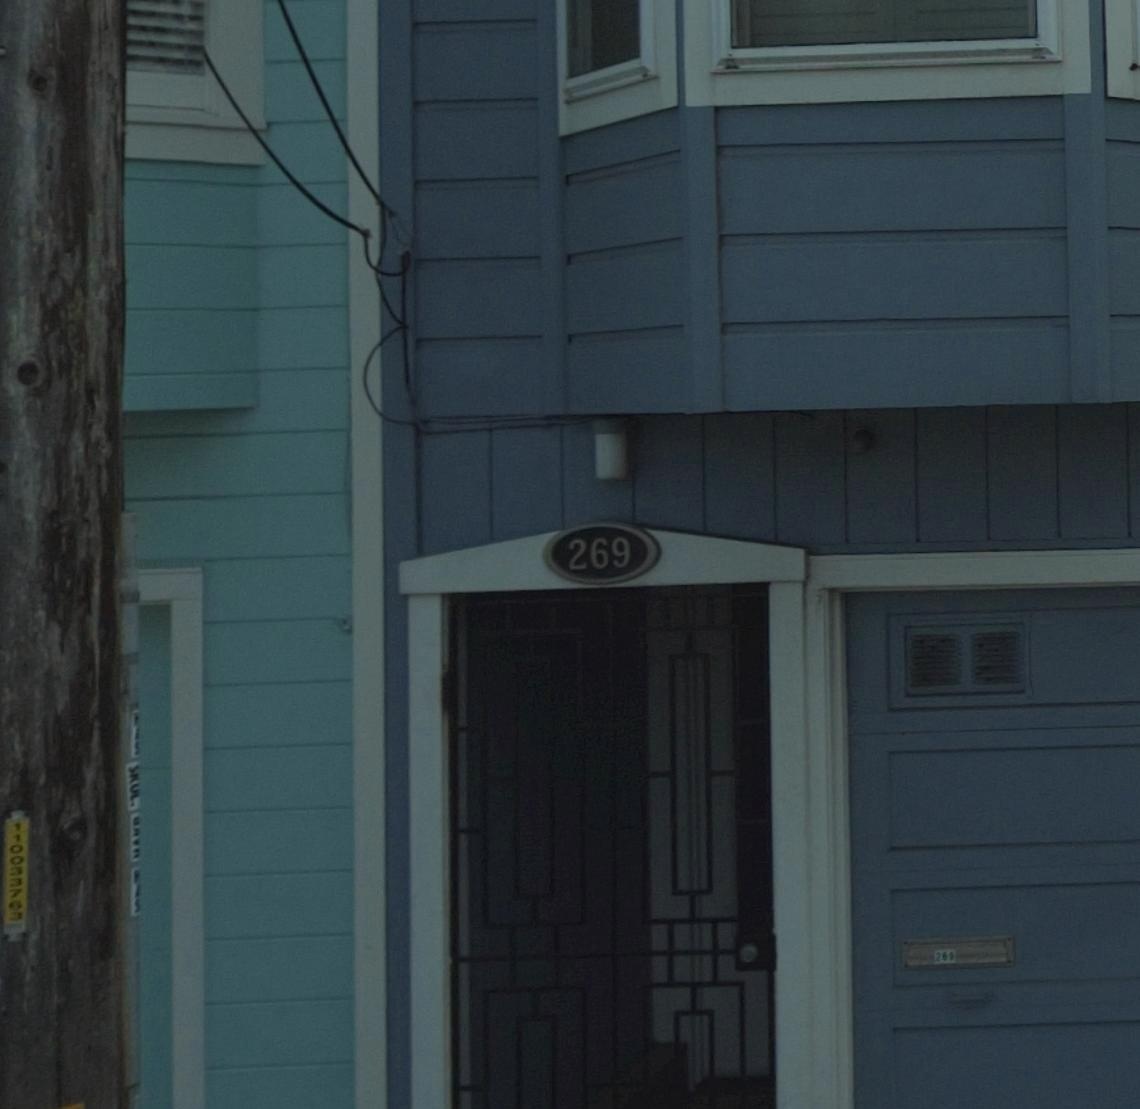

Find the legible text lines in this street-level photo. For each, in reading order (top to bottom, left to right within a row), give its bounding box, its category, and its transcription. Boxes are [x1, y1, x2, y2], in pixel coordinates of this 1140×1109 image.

[564, 533, 633, 574] StreetNumber: 269
[5, 819, 27, 925] None: 110033763
[934, 949, 956, 964] StreetNumber: 269